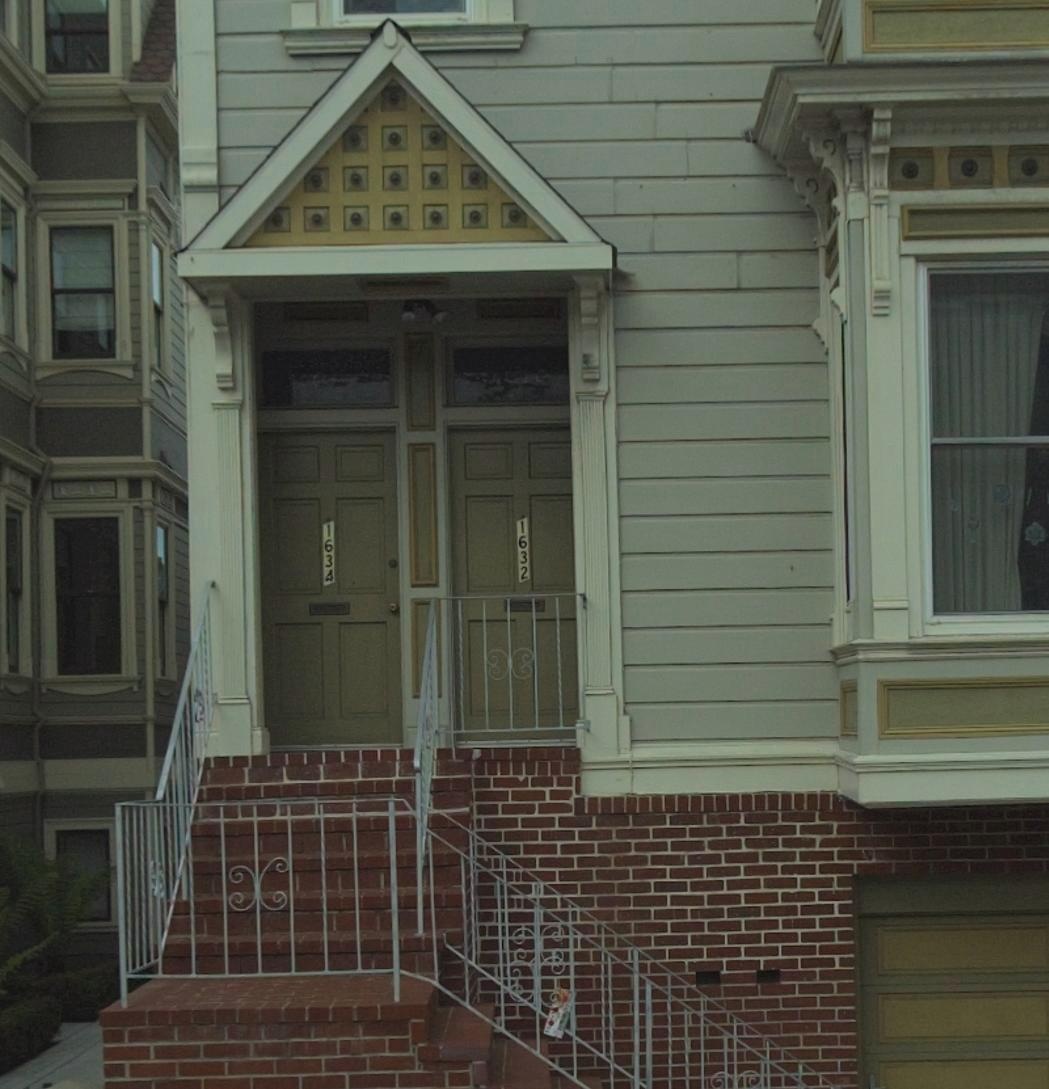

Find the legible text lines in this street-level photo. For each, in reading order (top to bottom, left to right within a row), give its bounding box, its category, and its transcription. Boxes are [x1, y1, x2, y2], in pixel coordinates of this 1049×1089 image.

[323, 522, 335, 586] StreetNumber: 1634
[517, 519, 529, 584] StreetNumber: 1632